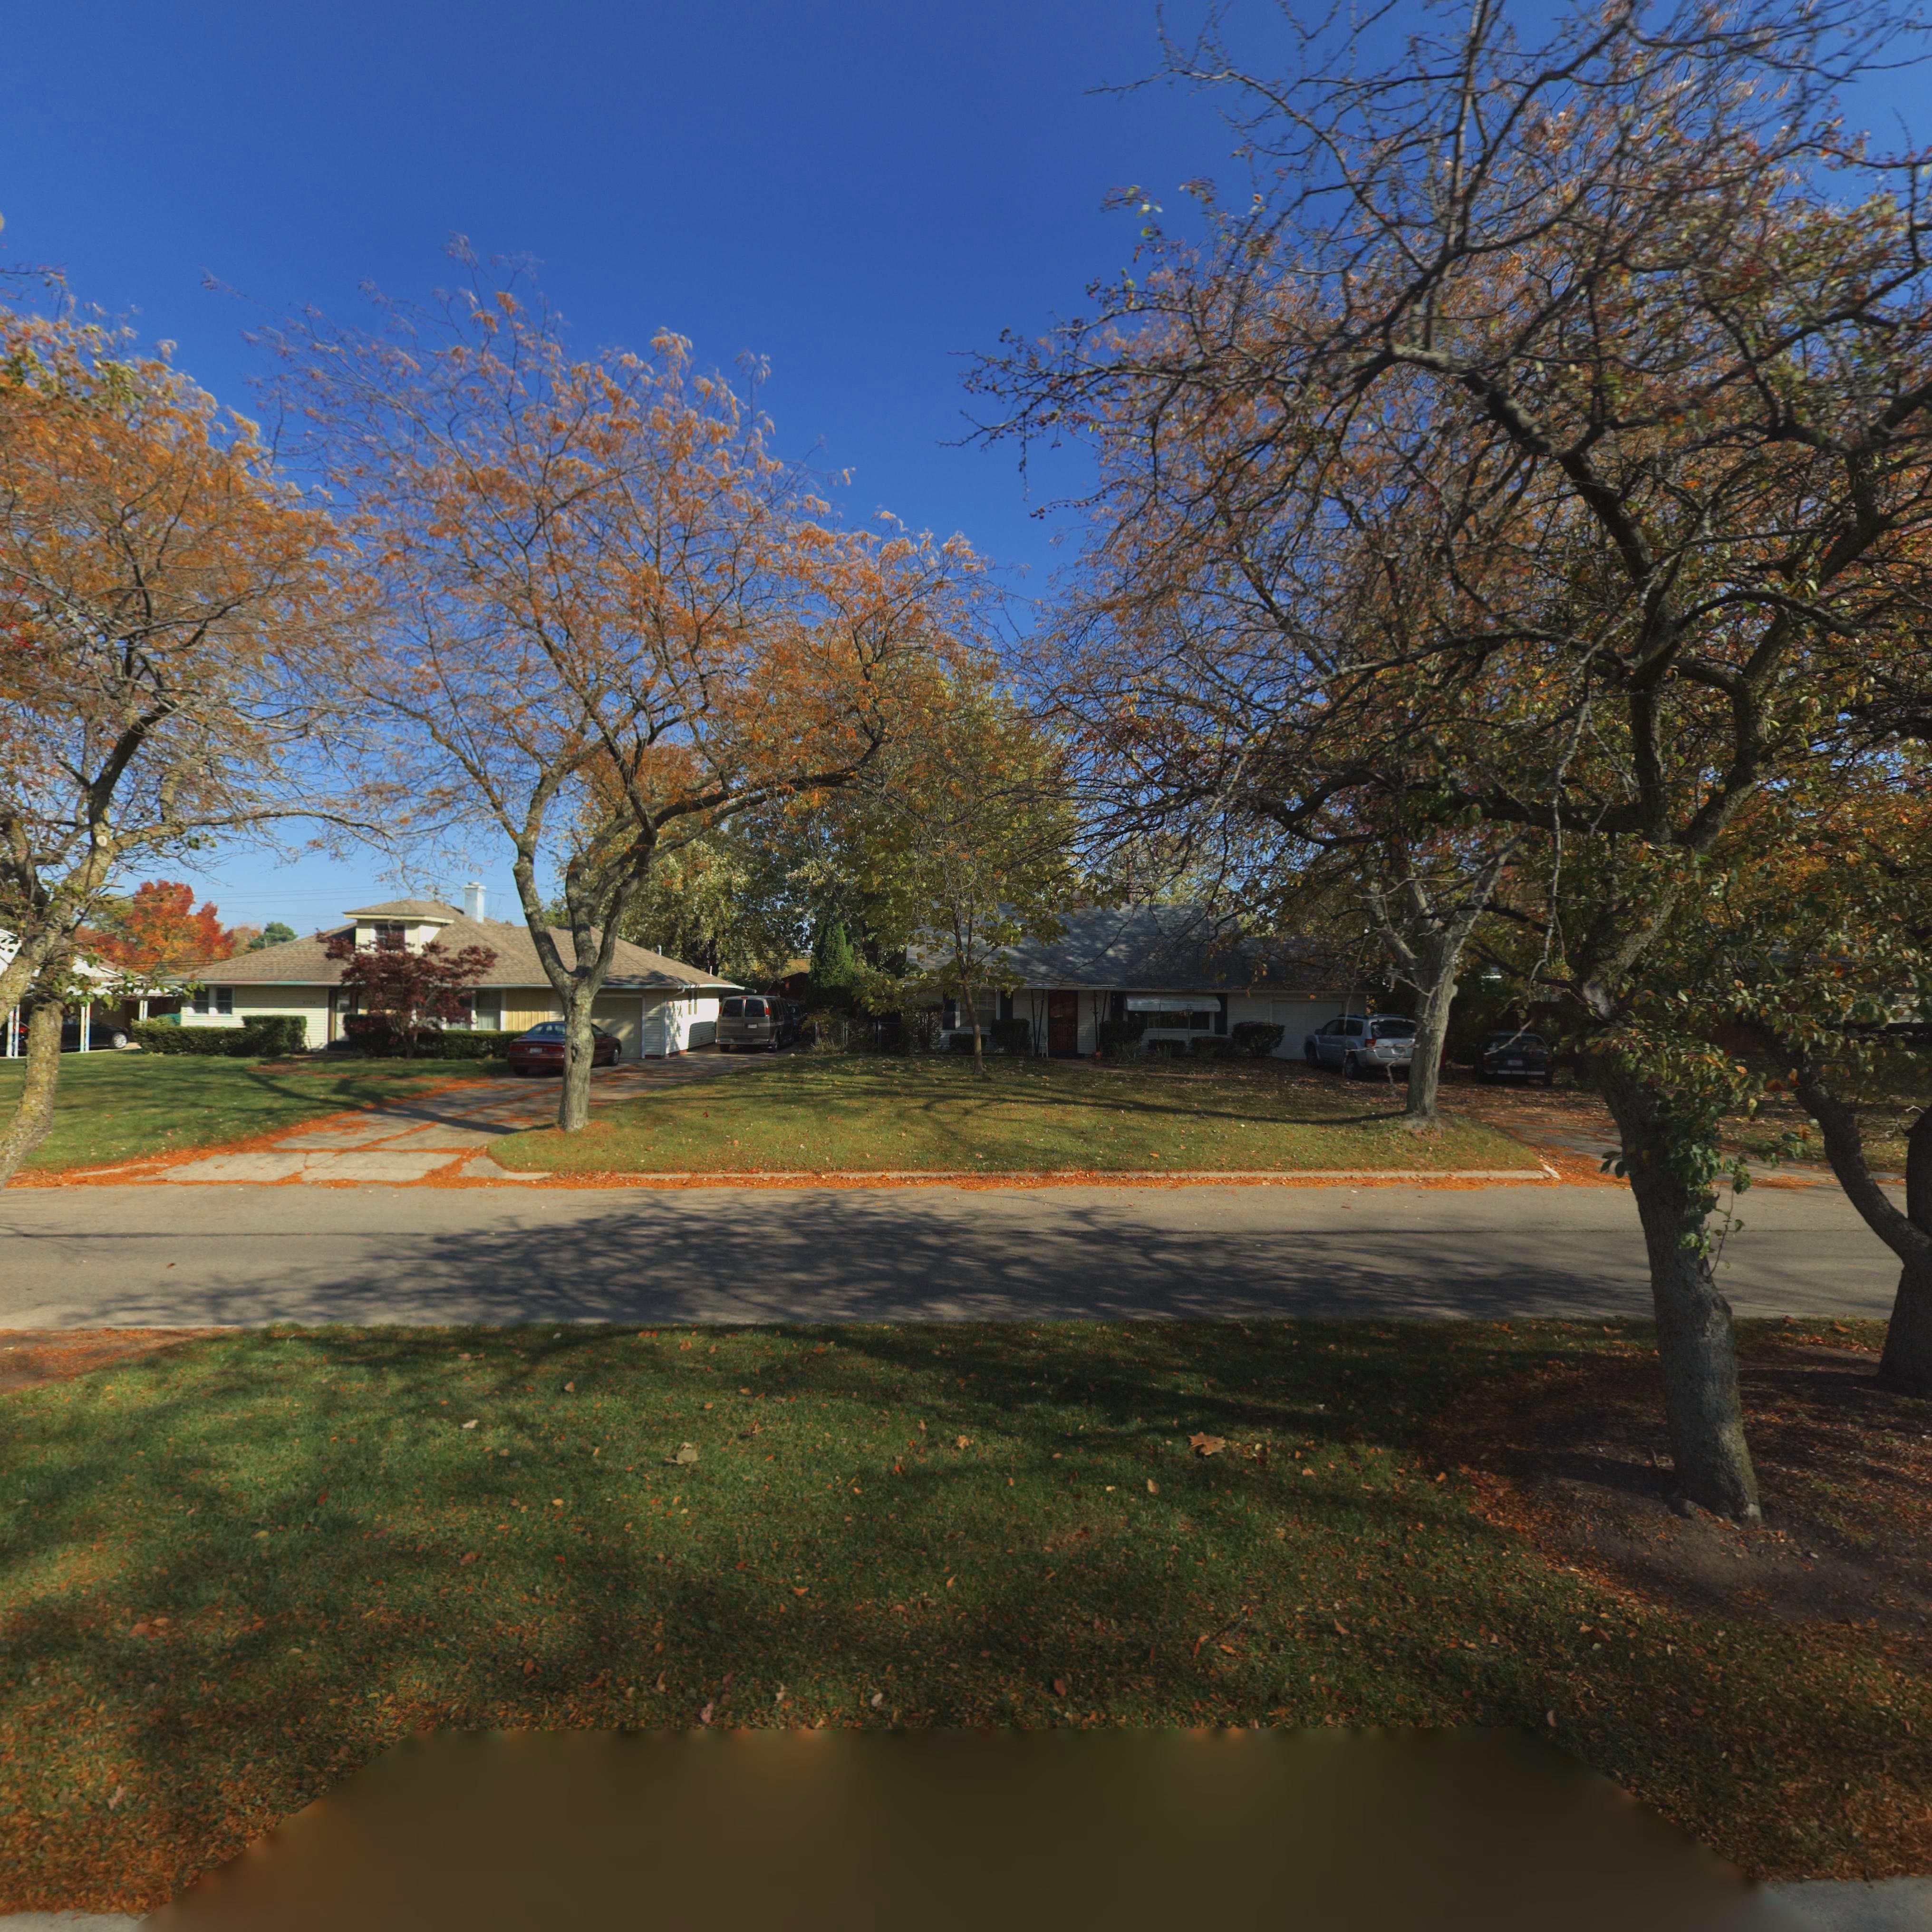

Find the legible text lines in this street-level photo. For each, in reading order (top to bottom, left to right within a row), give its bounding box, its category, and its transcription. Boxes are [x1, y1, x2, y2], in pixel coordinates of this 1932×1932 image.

[1089, 1006, 1093, 1011] StreetNumber: 3